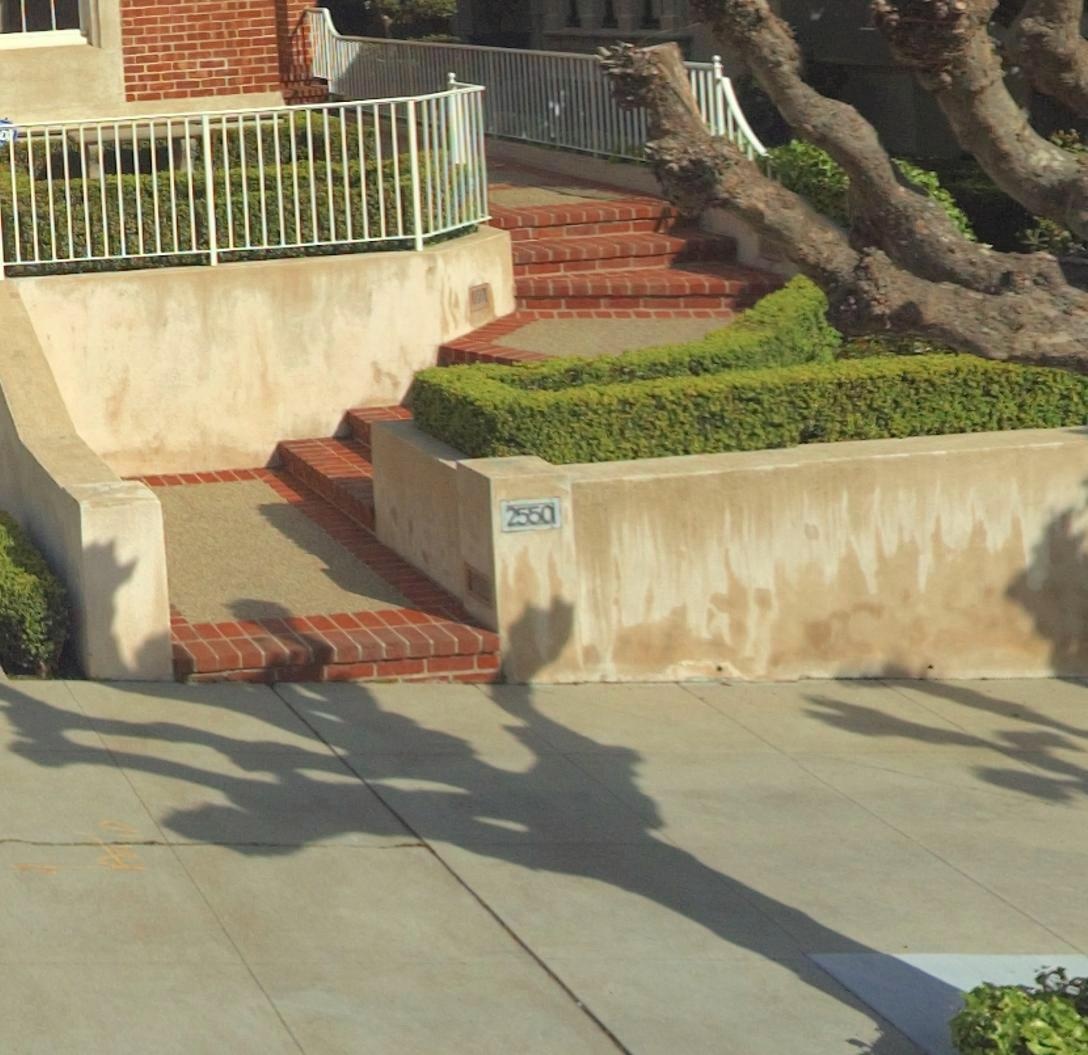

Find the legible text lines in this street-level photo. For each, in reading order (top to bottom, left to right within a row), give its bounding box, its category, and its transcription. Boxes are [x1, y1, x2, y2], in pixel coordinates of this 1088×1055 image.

[503, 500, 557, 529] StreetNumber: 2550